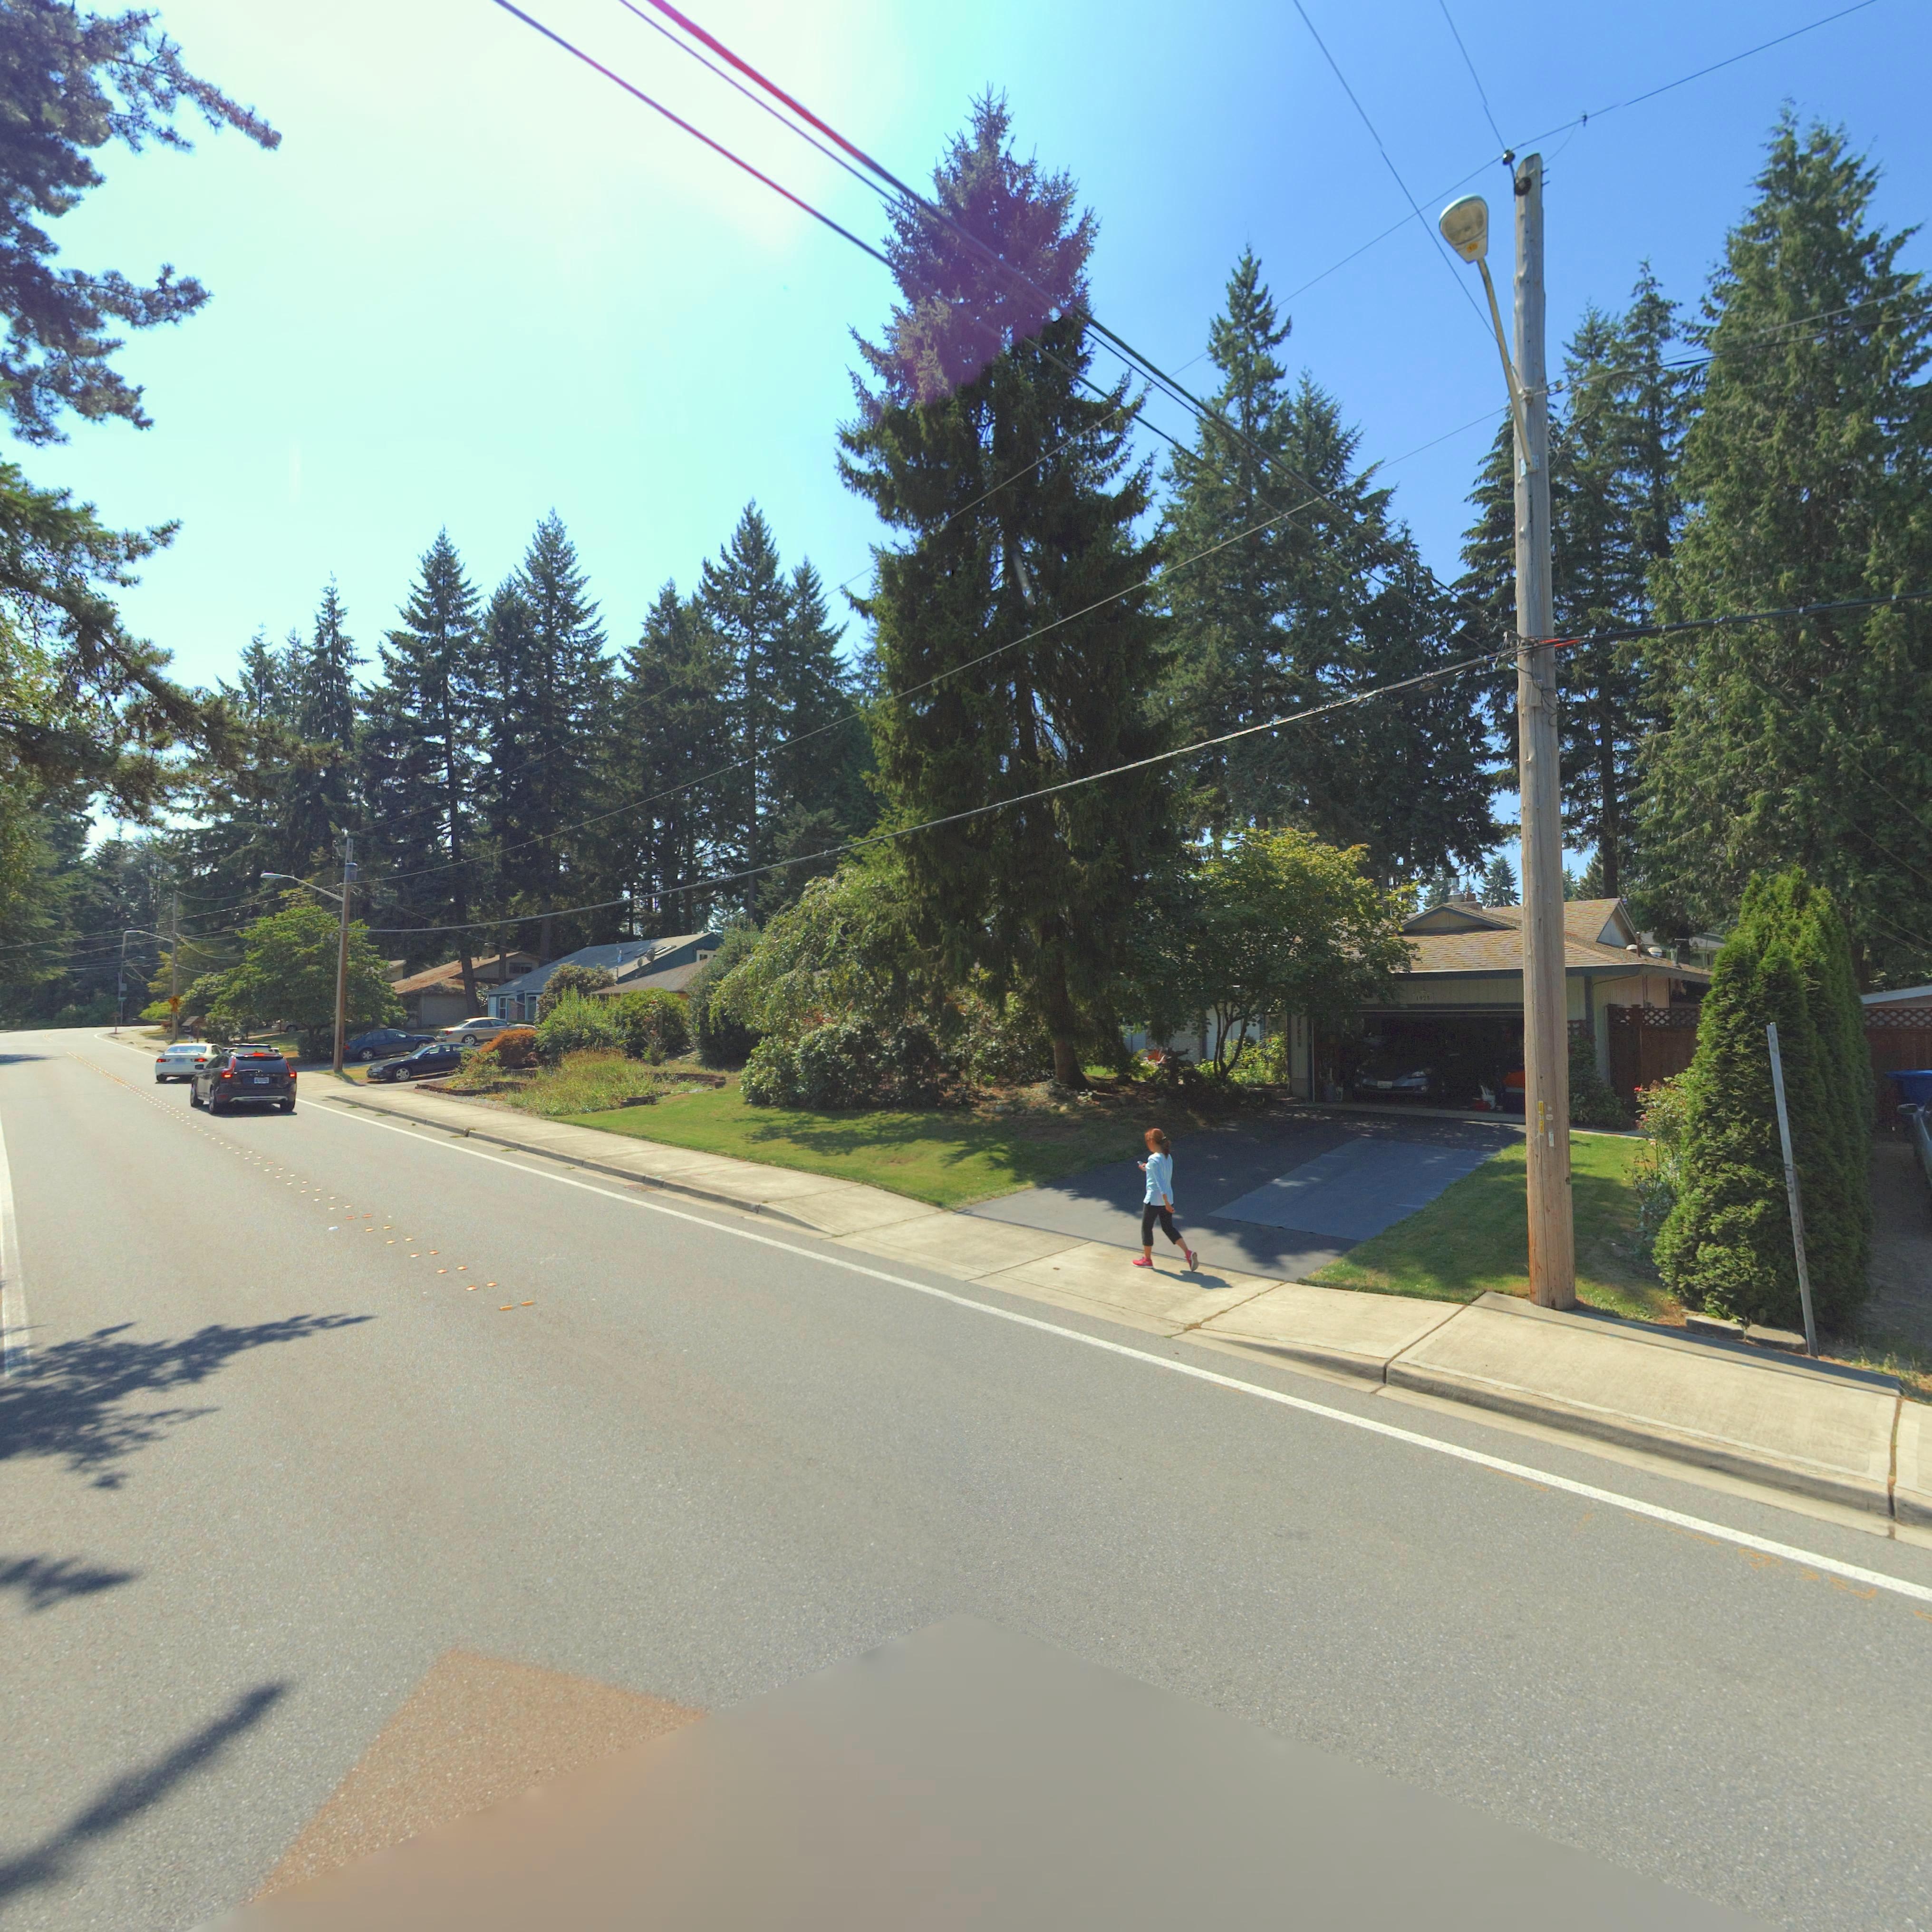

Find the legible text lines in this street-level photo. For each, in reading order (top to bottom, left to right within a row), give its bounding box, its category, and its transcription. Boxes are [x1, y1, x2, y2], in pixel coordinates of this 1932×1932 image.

[1415, 995, 1430, 1001] StreetNumber: 1925